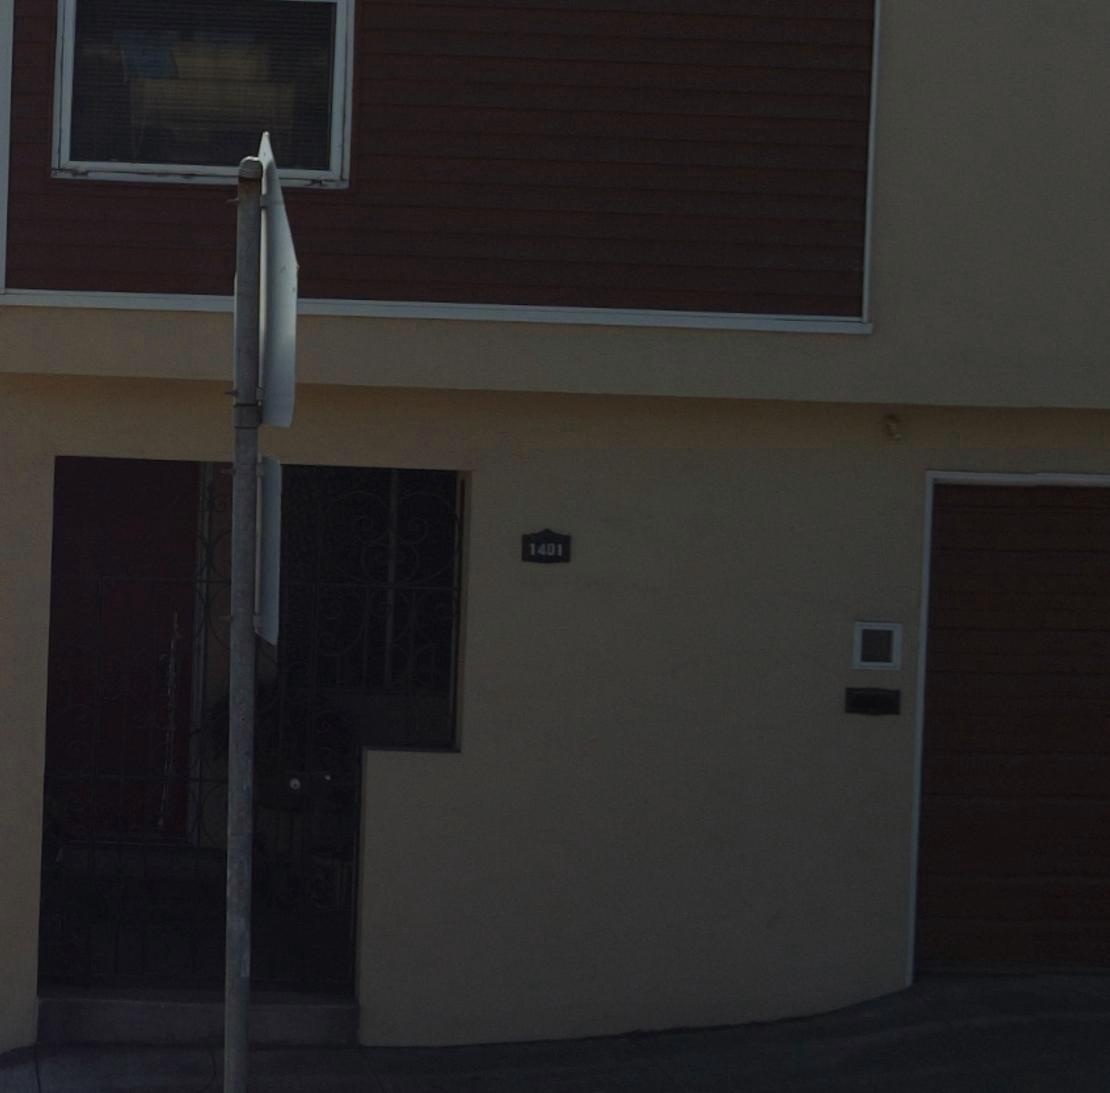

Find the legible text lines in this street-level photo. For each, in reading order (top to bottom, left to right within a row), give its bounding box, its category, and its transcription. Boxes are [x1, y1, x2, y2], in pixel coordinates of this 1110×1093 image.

[528, 540, 564, 558] StreetNumber: 1401